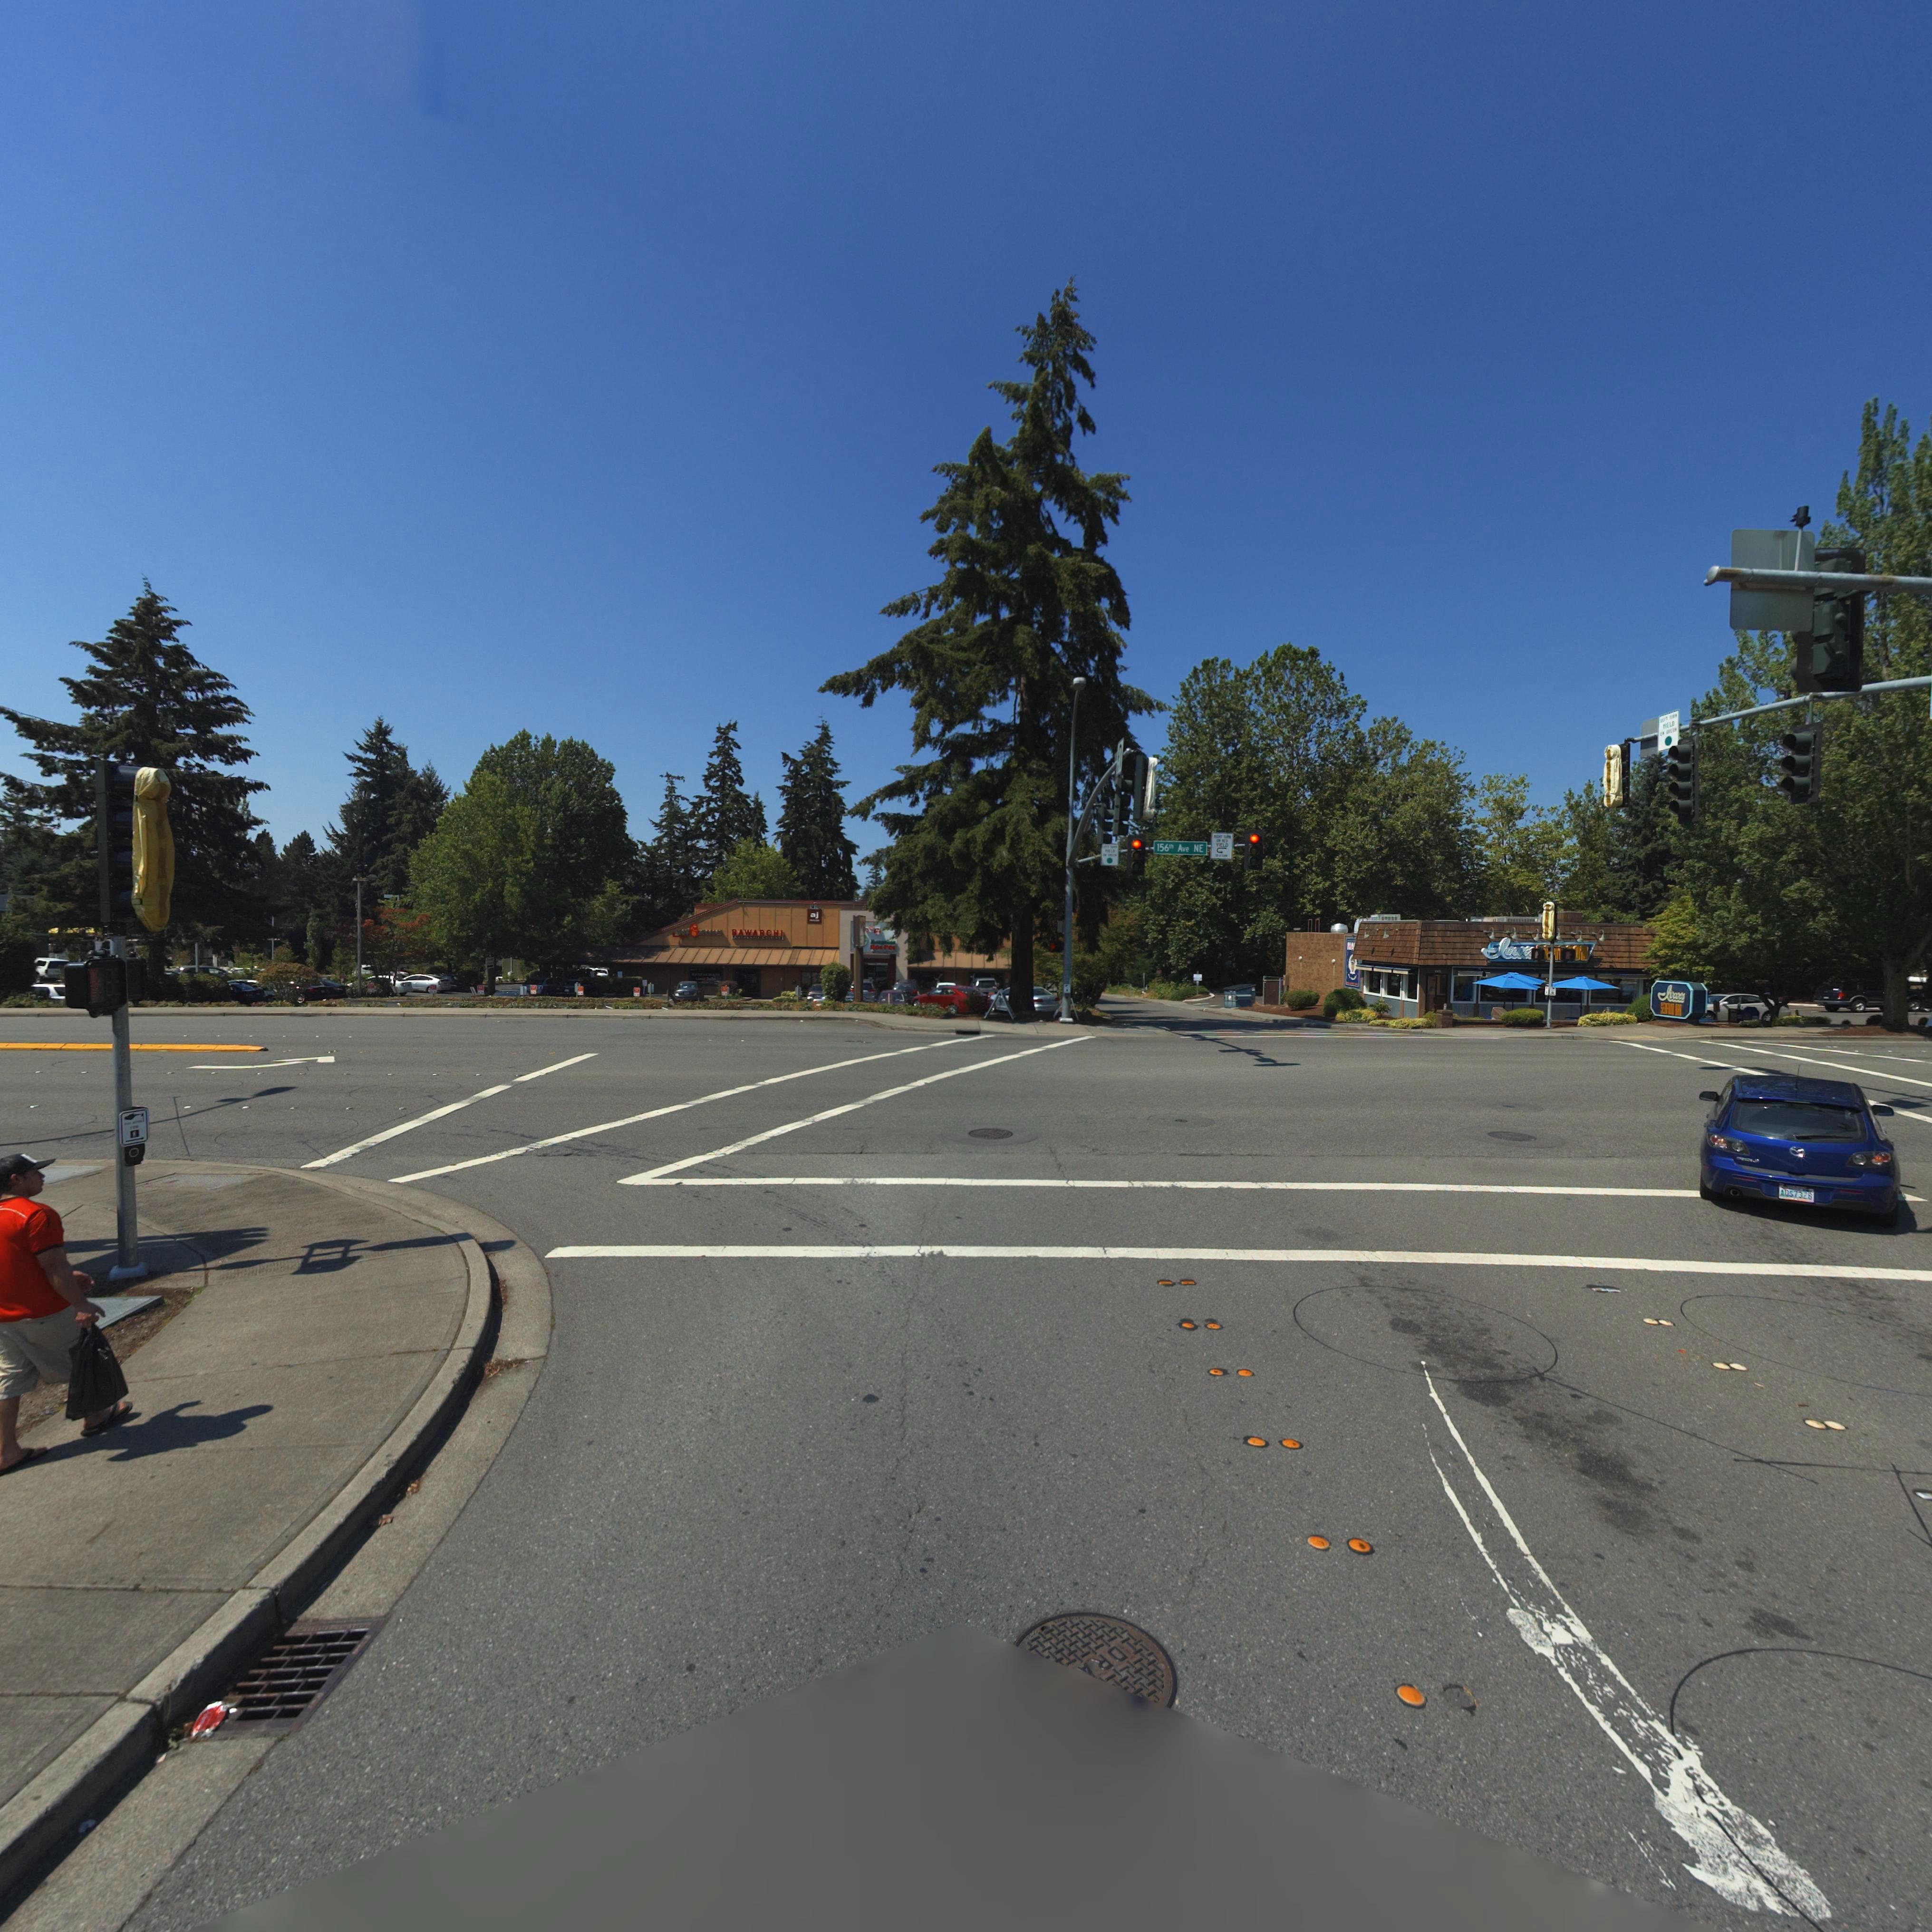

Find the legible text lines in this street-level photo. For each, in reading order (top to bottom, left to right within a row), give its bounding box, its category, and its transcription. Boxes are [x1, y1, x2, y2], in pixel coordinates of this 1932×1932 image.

[1157, 843, 1203, 852] StreetName: 156th Ave NE
[810, 911, 819, 919] BusinessName: aj
[731, 929, 783, 937] None: BAWARCHI